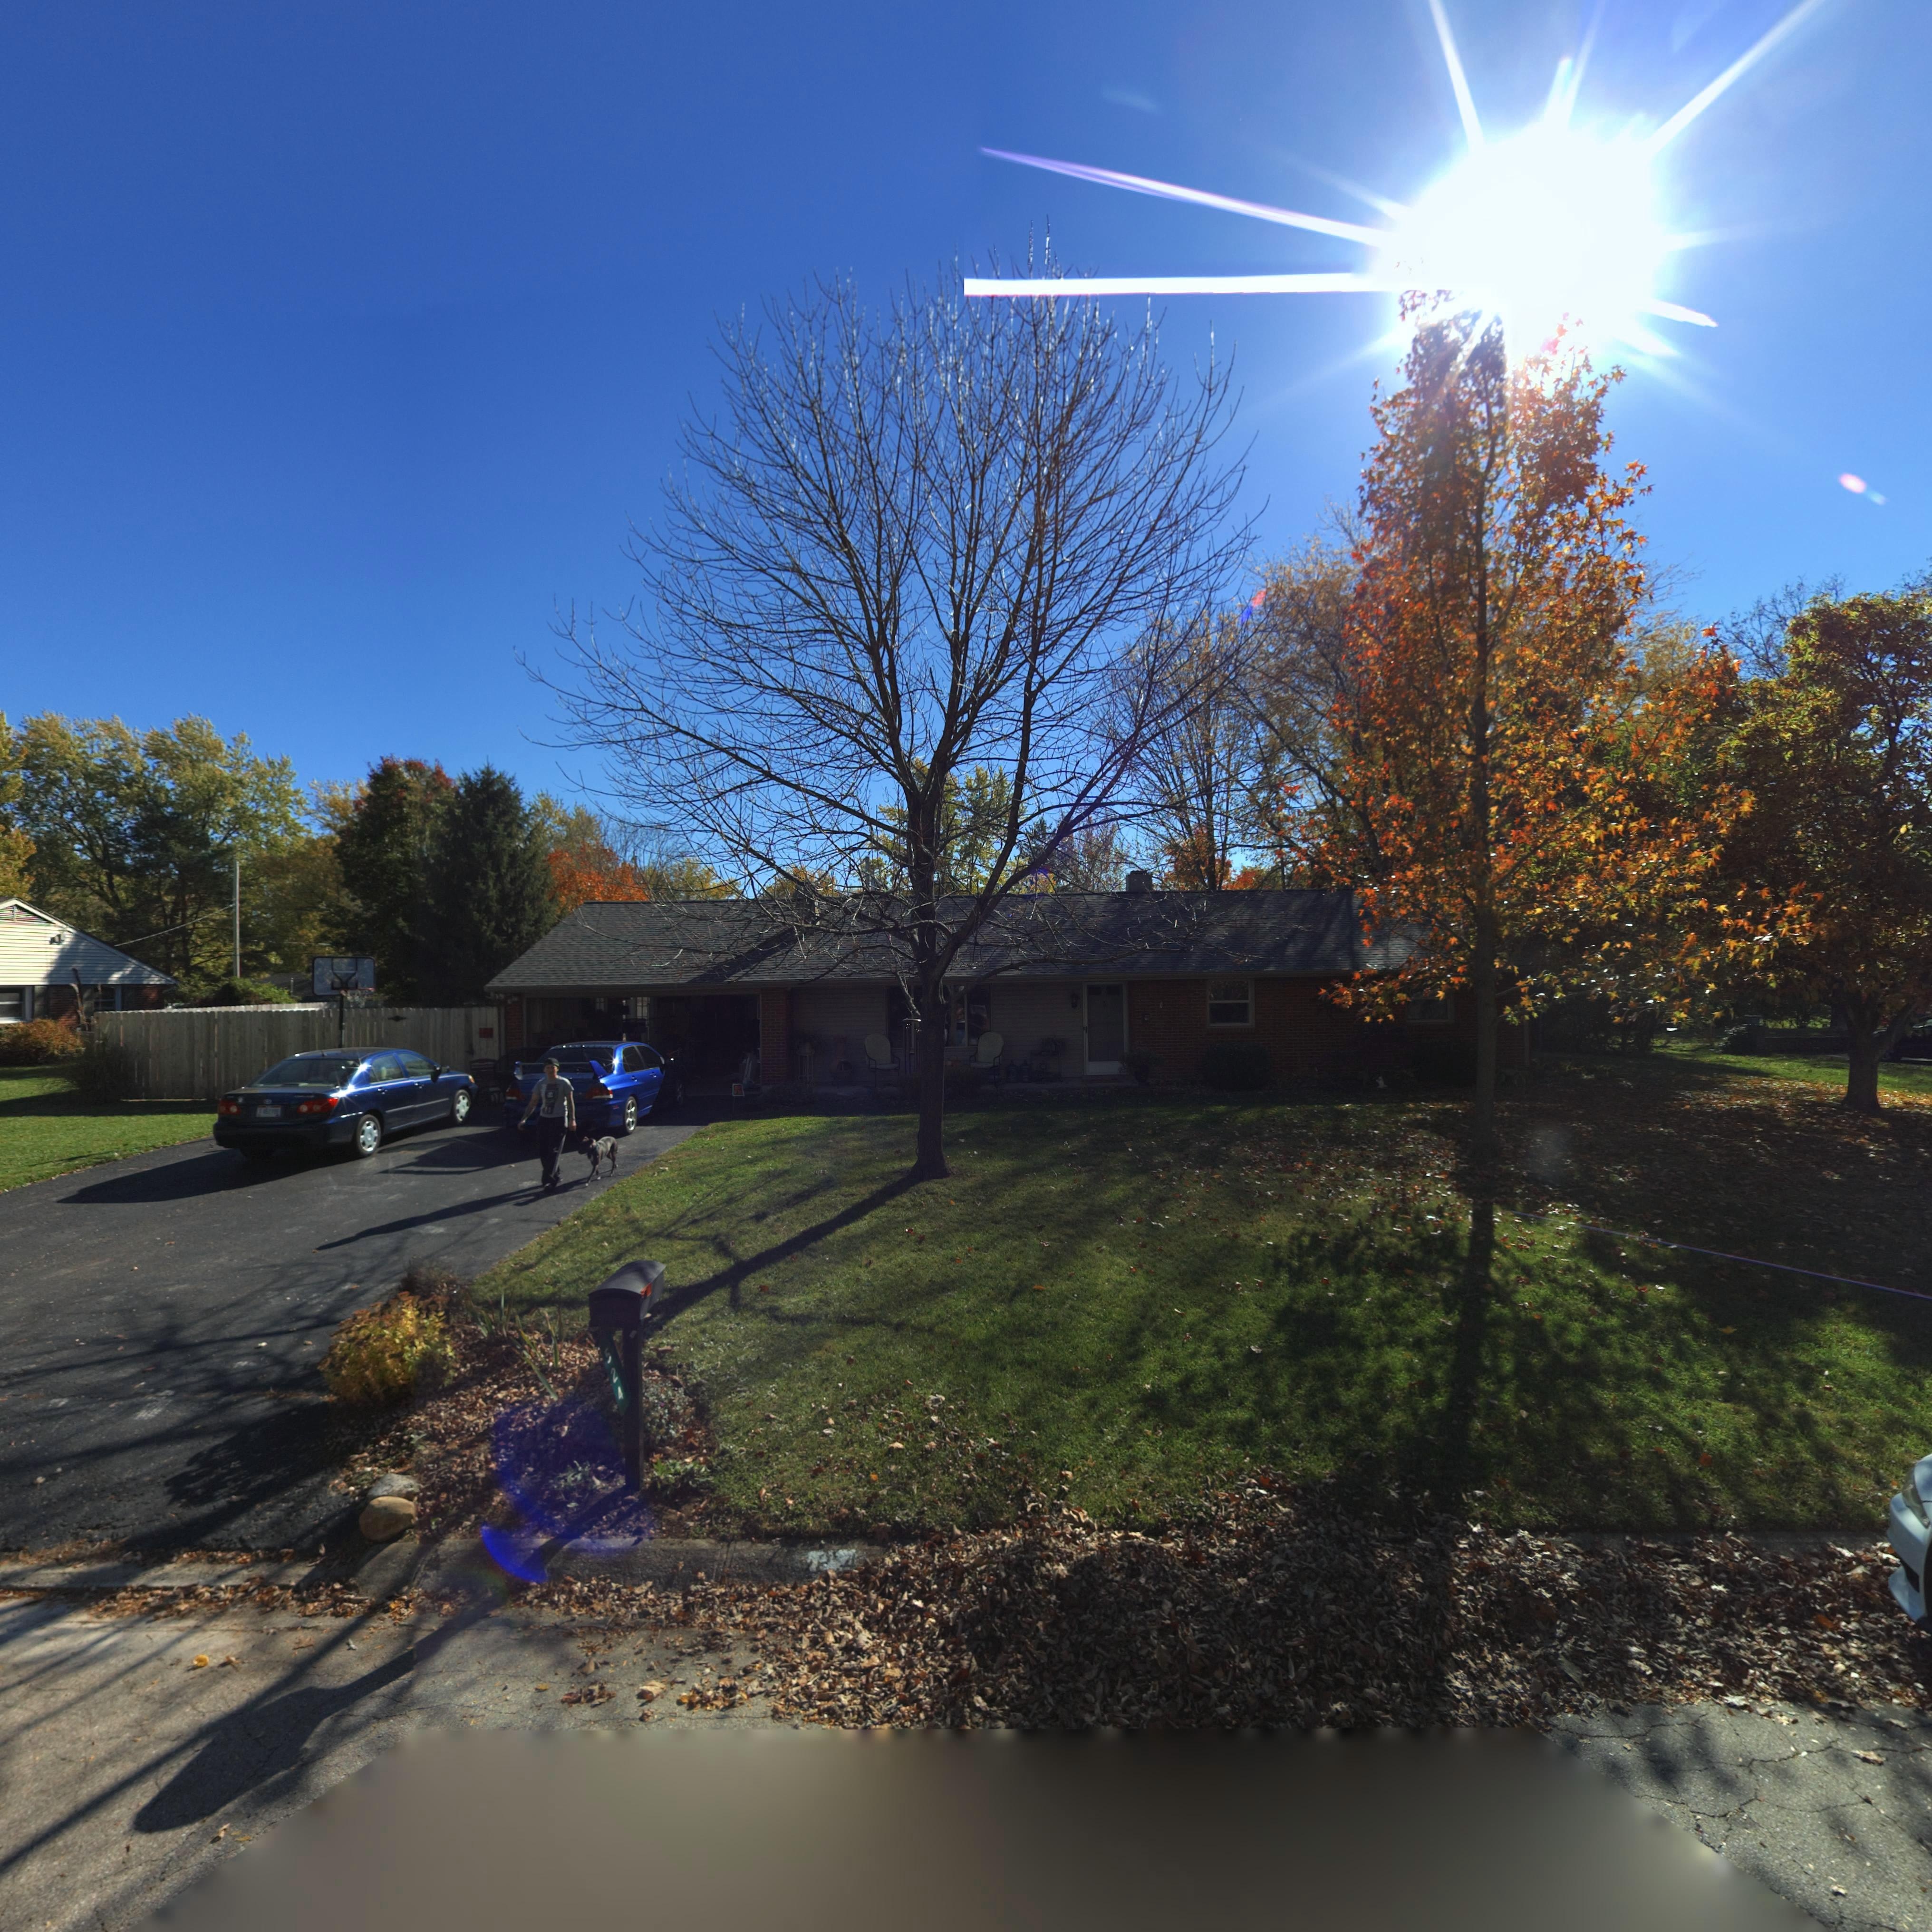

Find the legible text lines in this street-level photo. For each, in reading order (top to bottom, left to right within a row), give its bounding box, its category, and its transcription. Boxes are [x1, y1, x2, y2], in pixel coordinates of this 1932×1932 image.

[602, 1345, 625, 1403] StreetNumber: 524
[814, 1552, 858, 1573] StreetNumber: 24